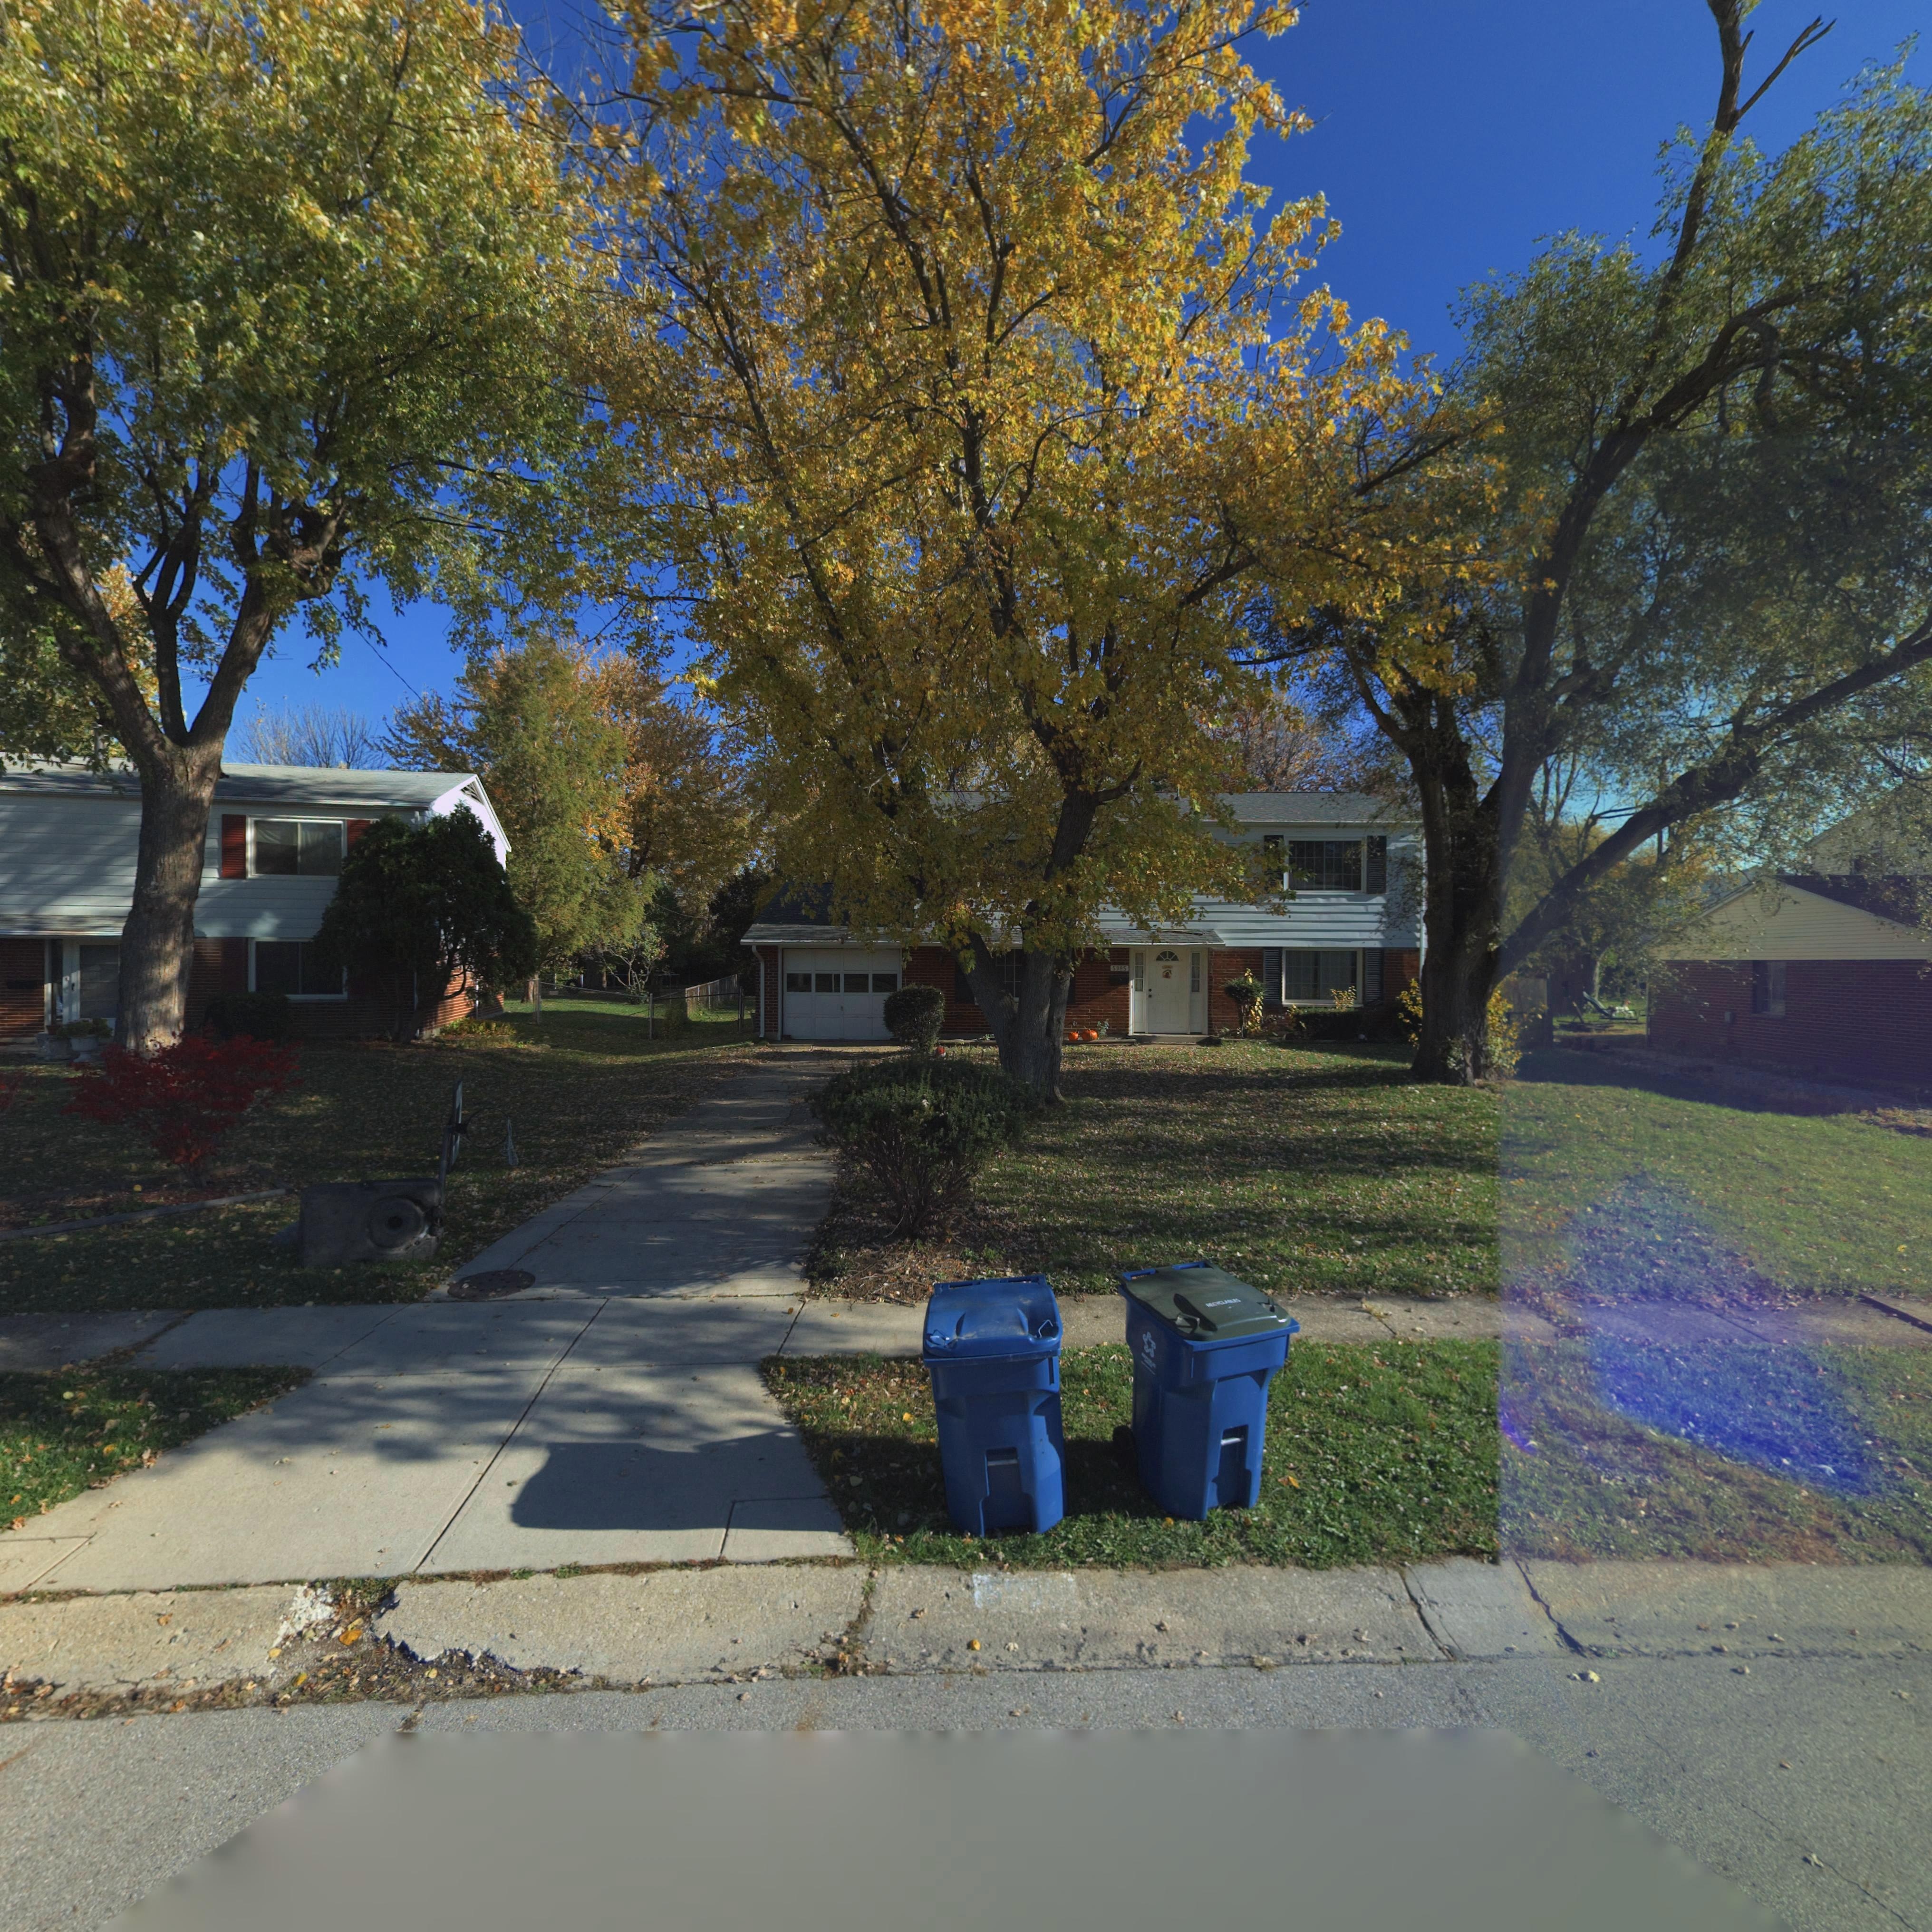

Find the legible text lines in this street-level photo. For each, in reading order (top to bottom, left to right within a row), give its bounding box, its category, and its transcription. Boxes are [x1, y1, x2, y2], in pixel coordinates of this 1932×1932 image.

[1111, 965, 1128, 972] StreetNumber: 5985